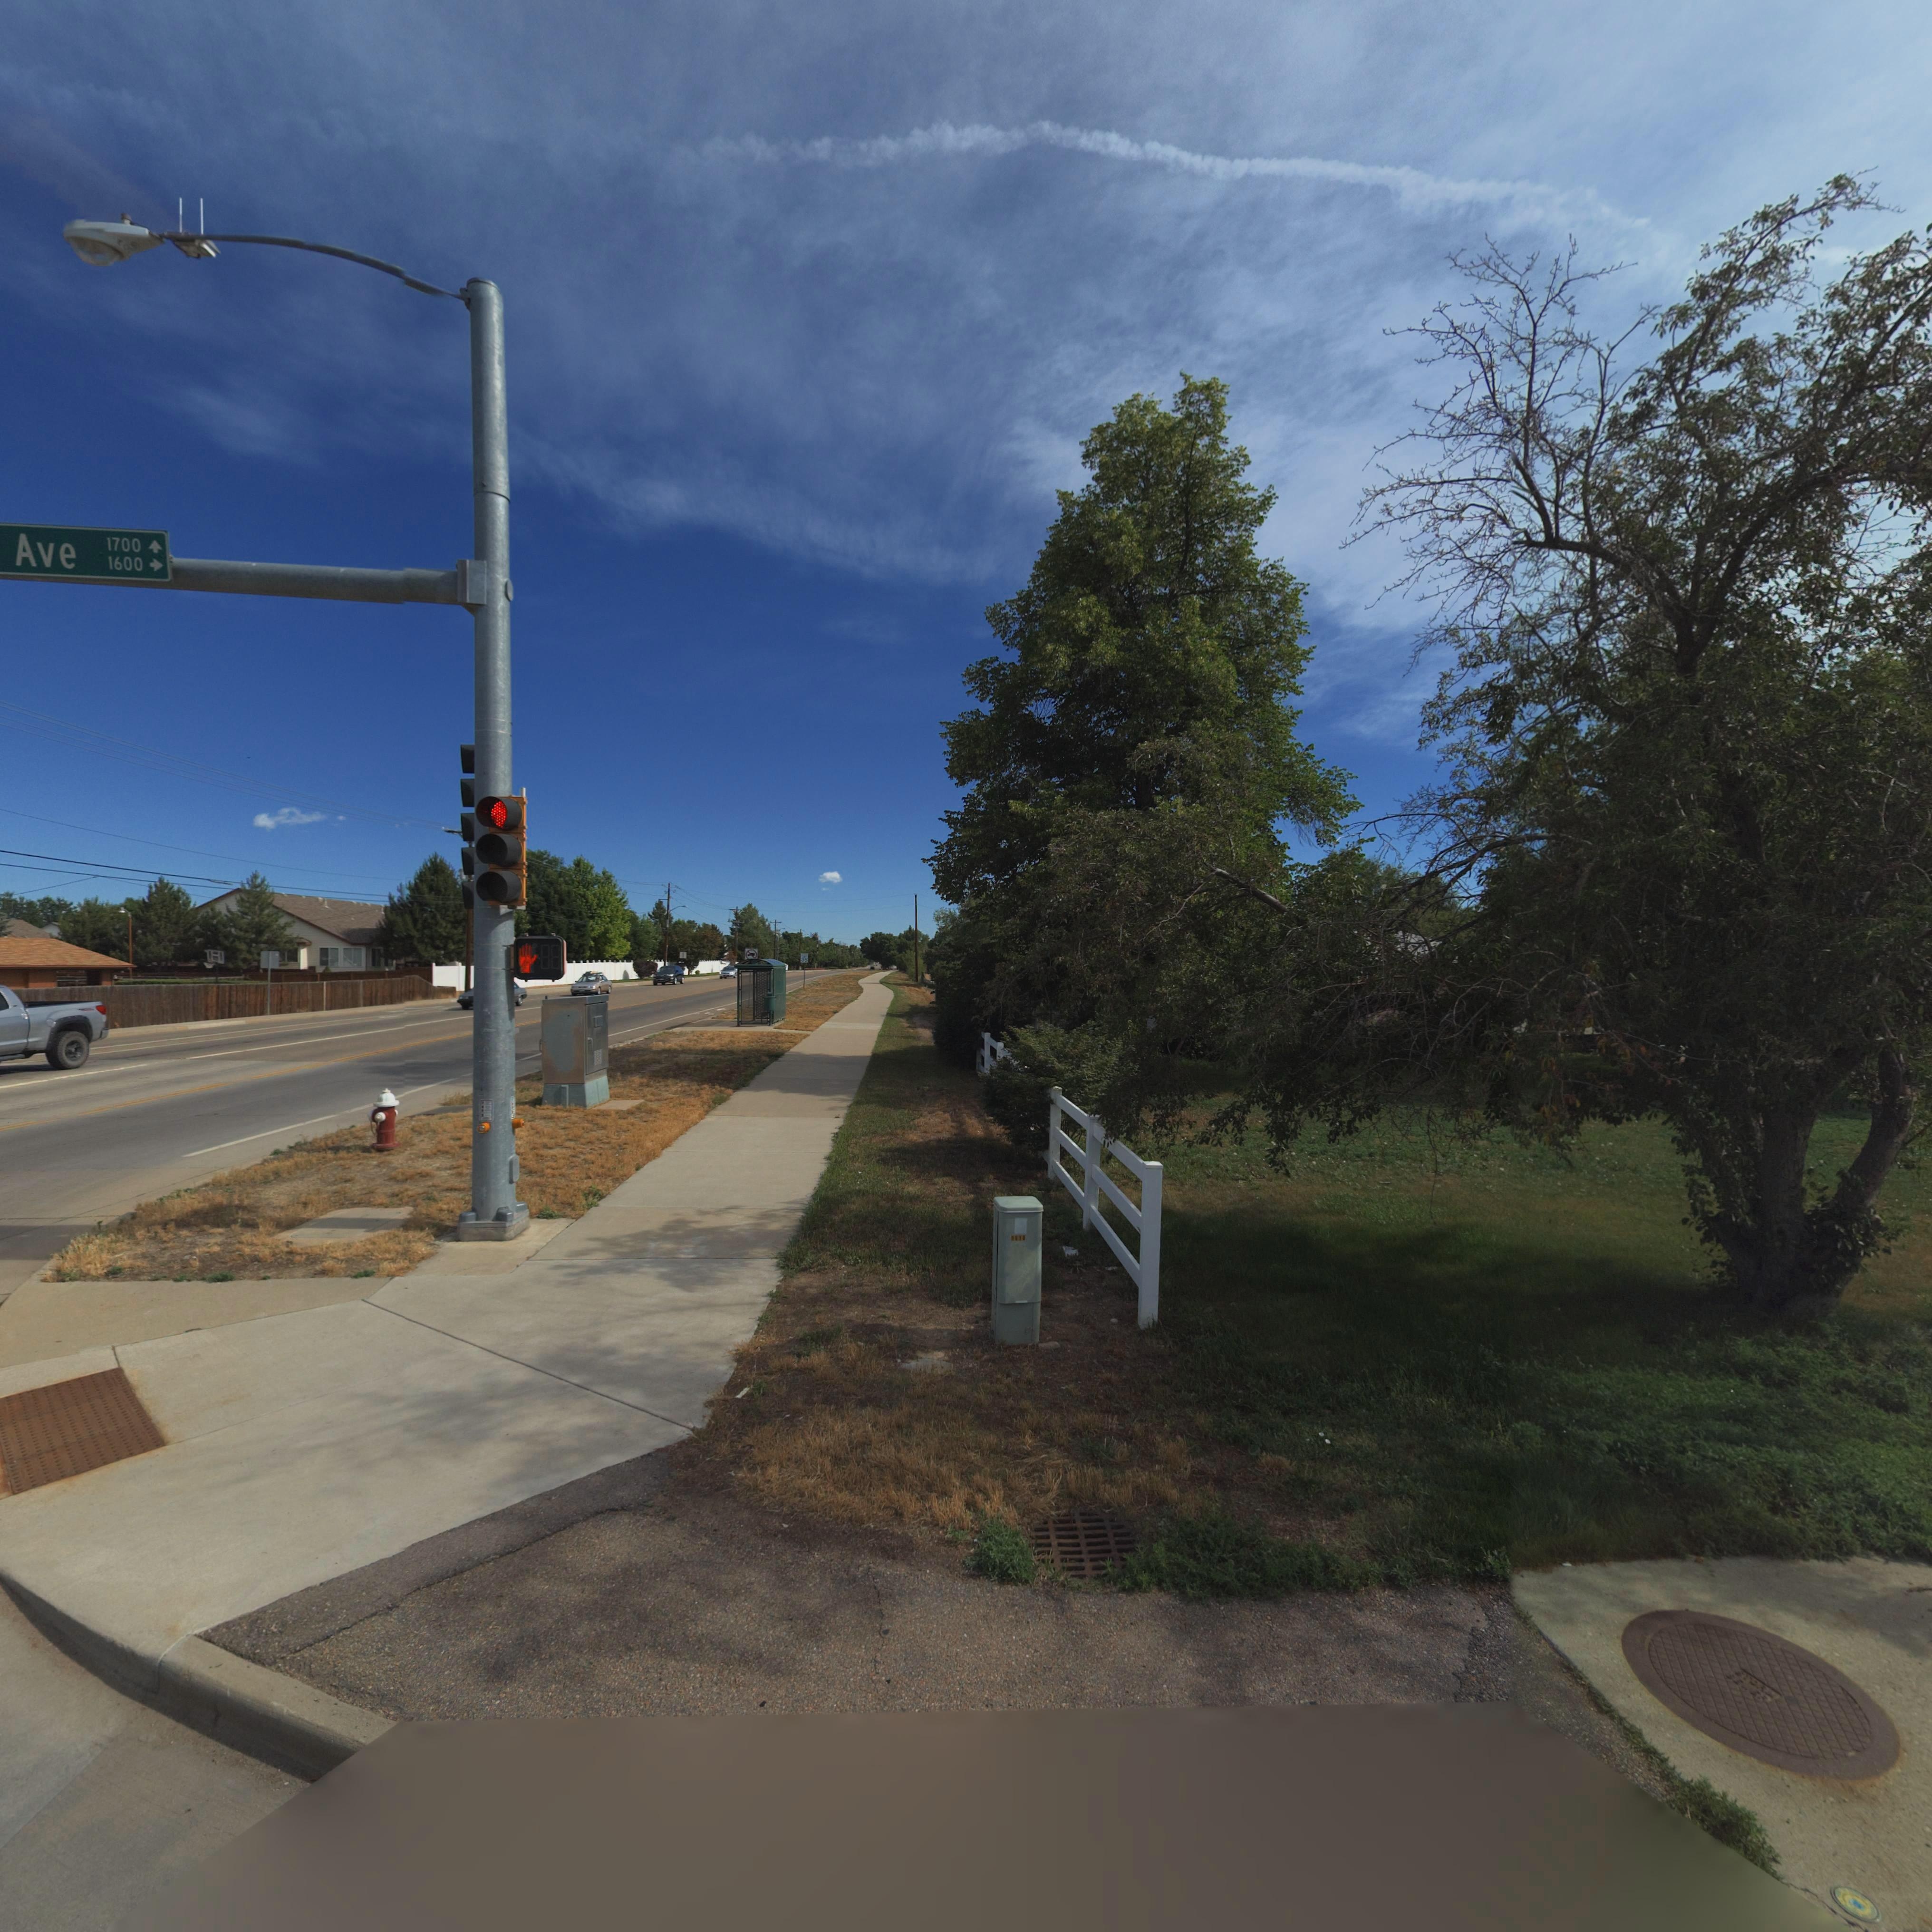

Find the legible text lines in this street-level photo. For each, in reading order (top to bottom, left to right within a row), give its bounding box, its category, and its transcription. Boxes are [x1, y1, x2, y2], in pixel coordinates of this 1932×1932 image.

[14, 532, 77, 570] StreetName: Ave
[106, 536, 142, 553] StreetNumberRange: 1700
[107, 556, 164, 572] StreetNumberRange: 1600 ->